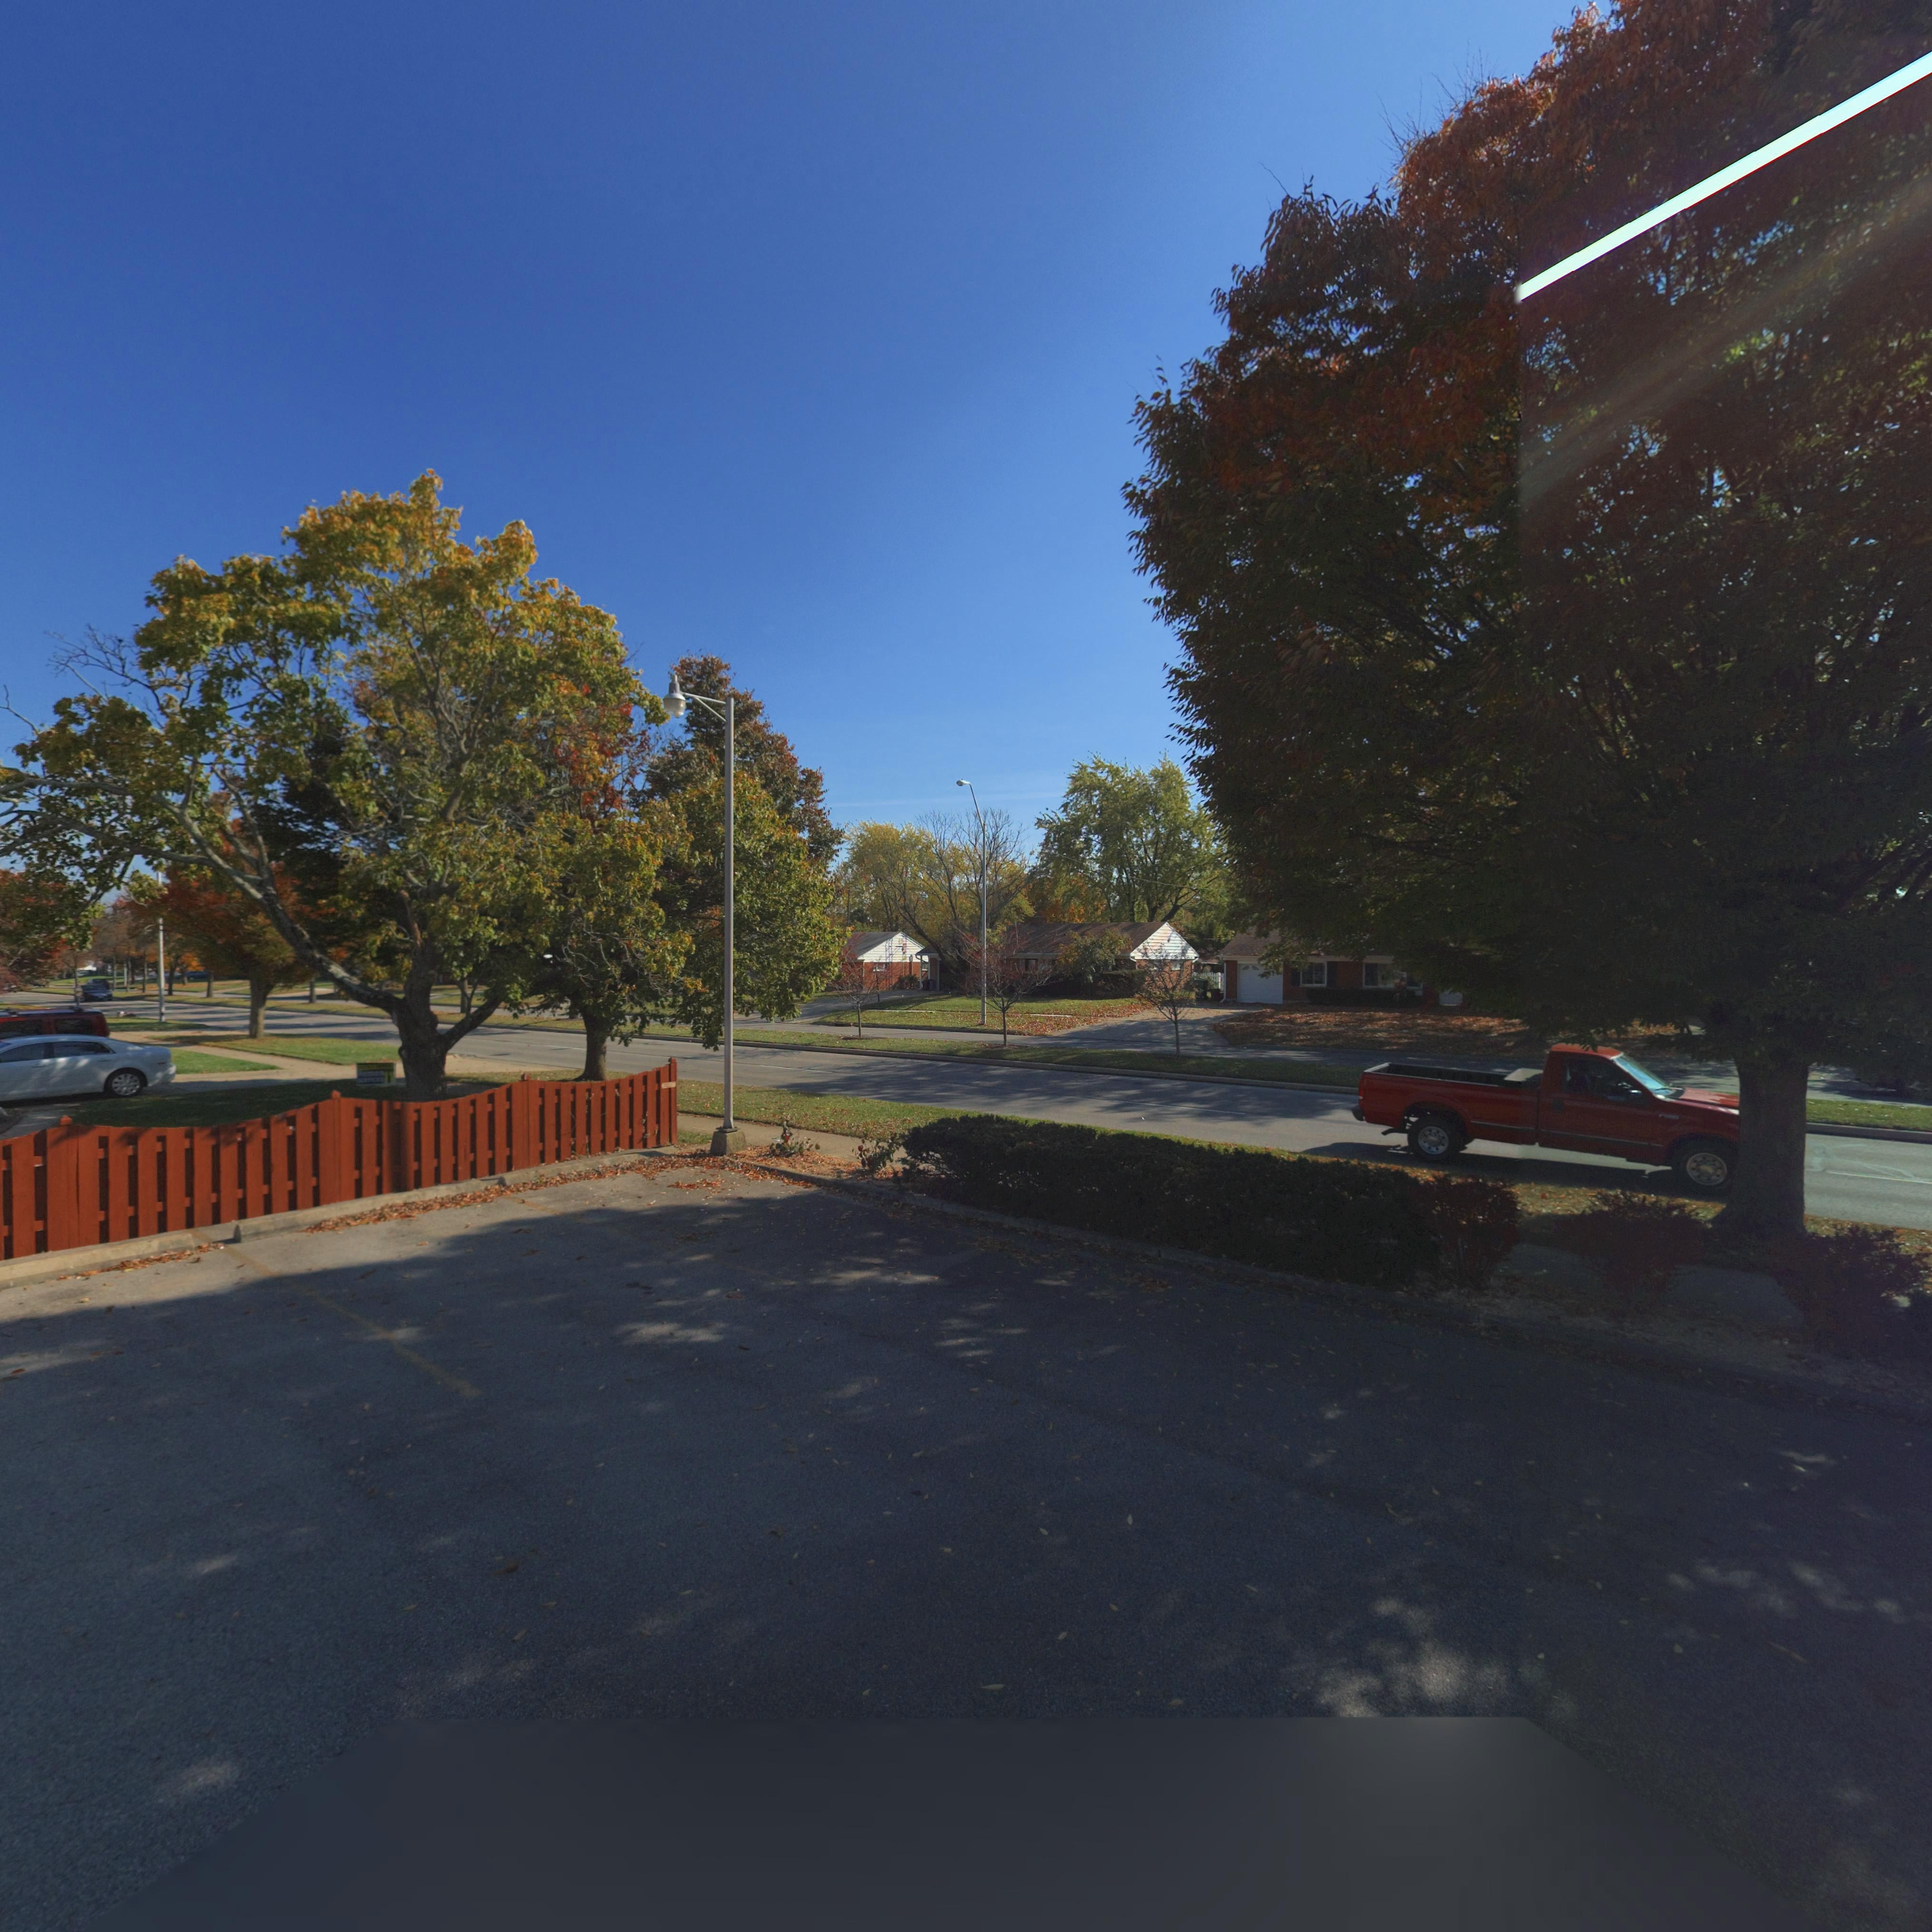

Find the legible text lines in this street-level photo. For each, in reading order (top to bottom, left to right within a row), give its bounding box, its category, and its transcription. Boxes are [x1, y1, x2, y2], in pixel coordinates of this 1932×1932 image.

[1657, 1113, 1680, 1121] None: F**0